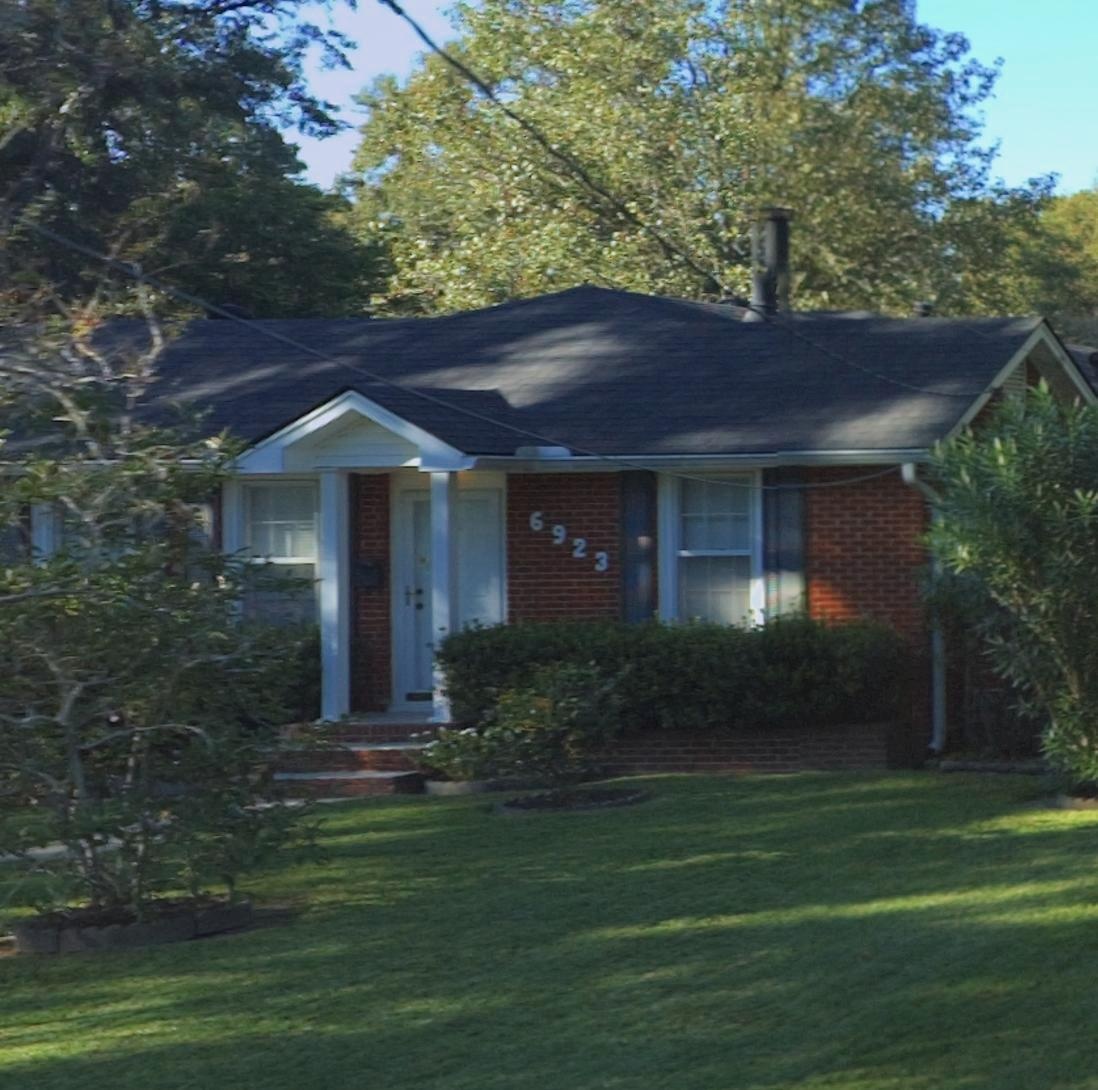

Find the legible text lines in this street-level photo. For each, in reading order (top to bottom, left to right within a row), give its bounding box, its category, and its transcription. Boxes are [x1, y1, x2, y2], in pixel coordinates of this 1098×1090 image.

[528, 510, 610, 573] StreetNumber: 6923